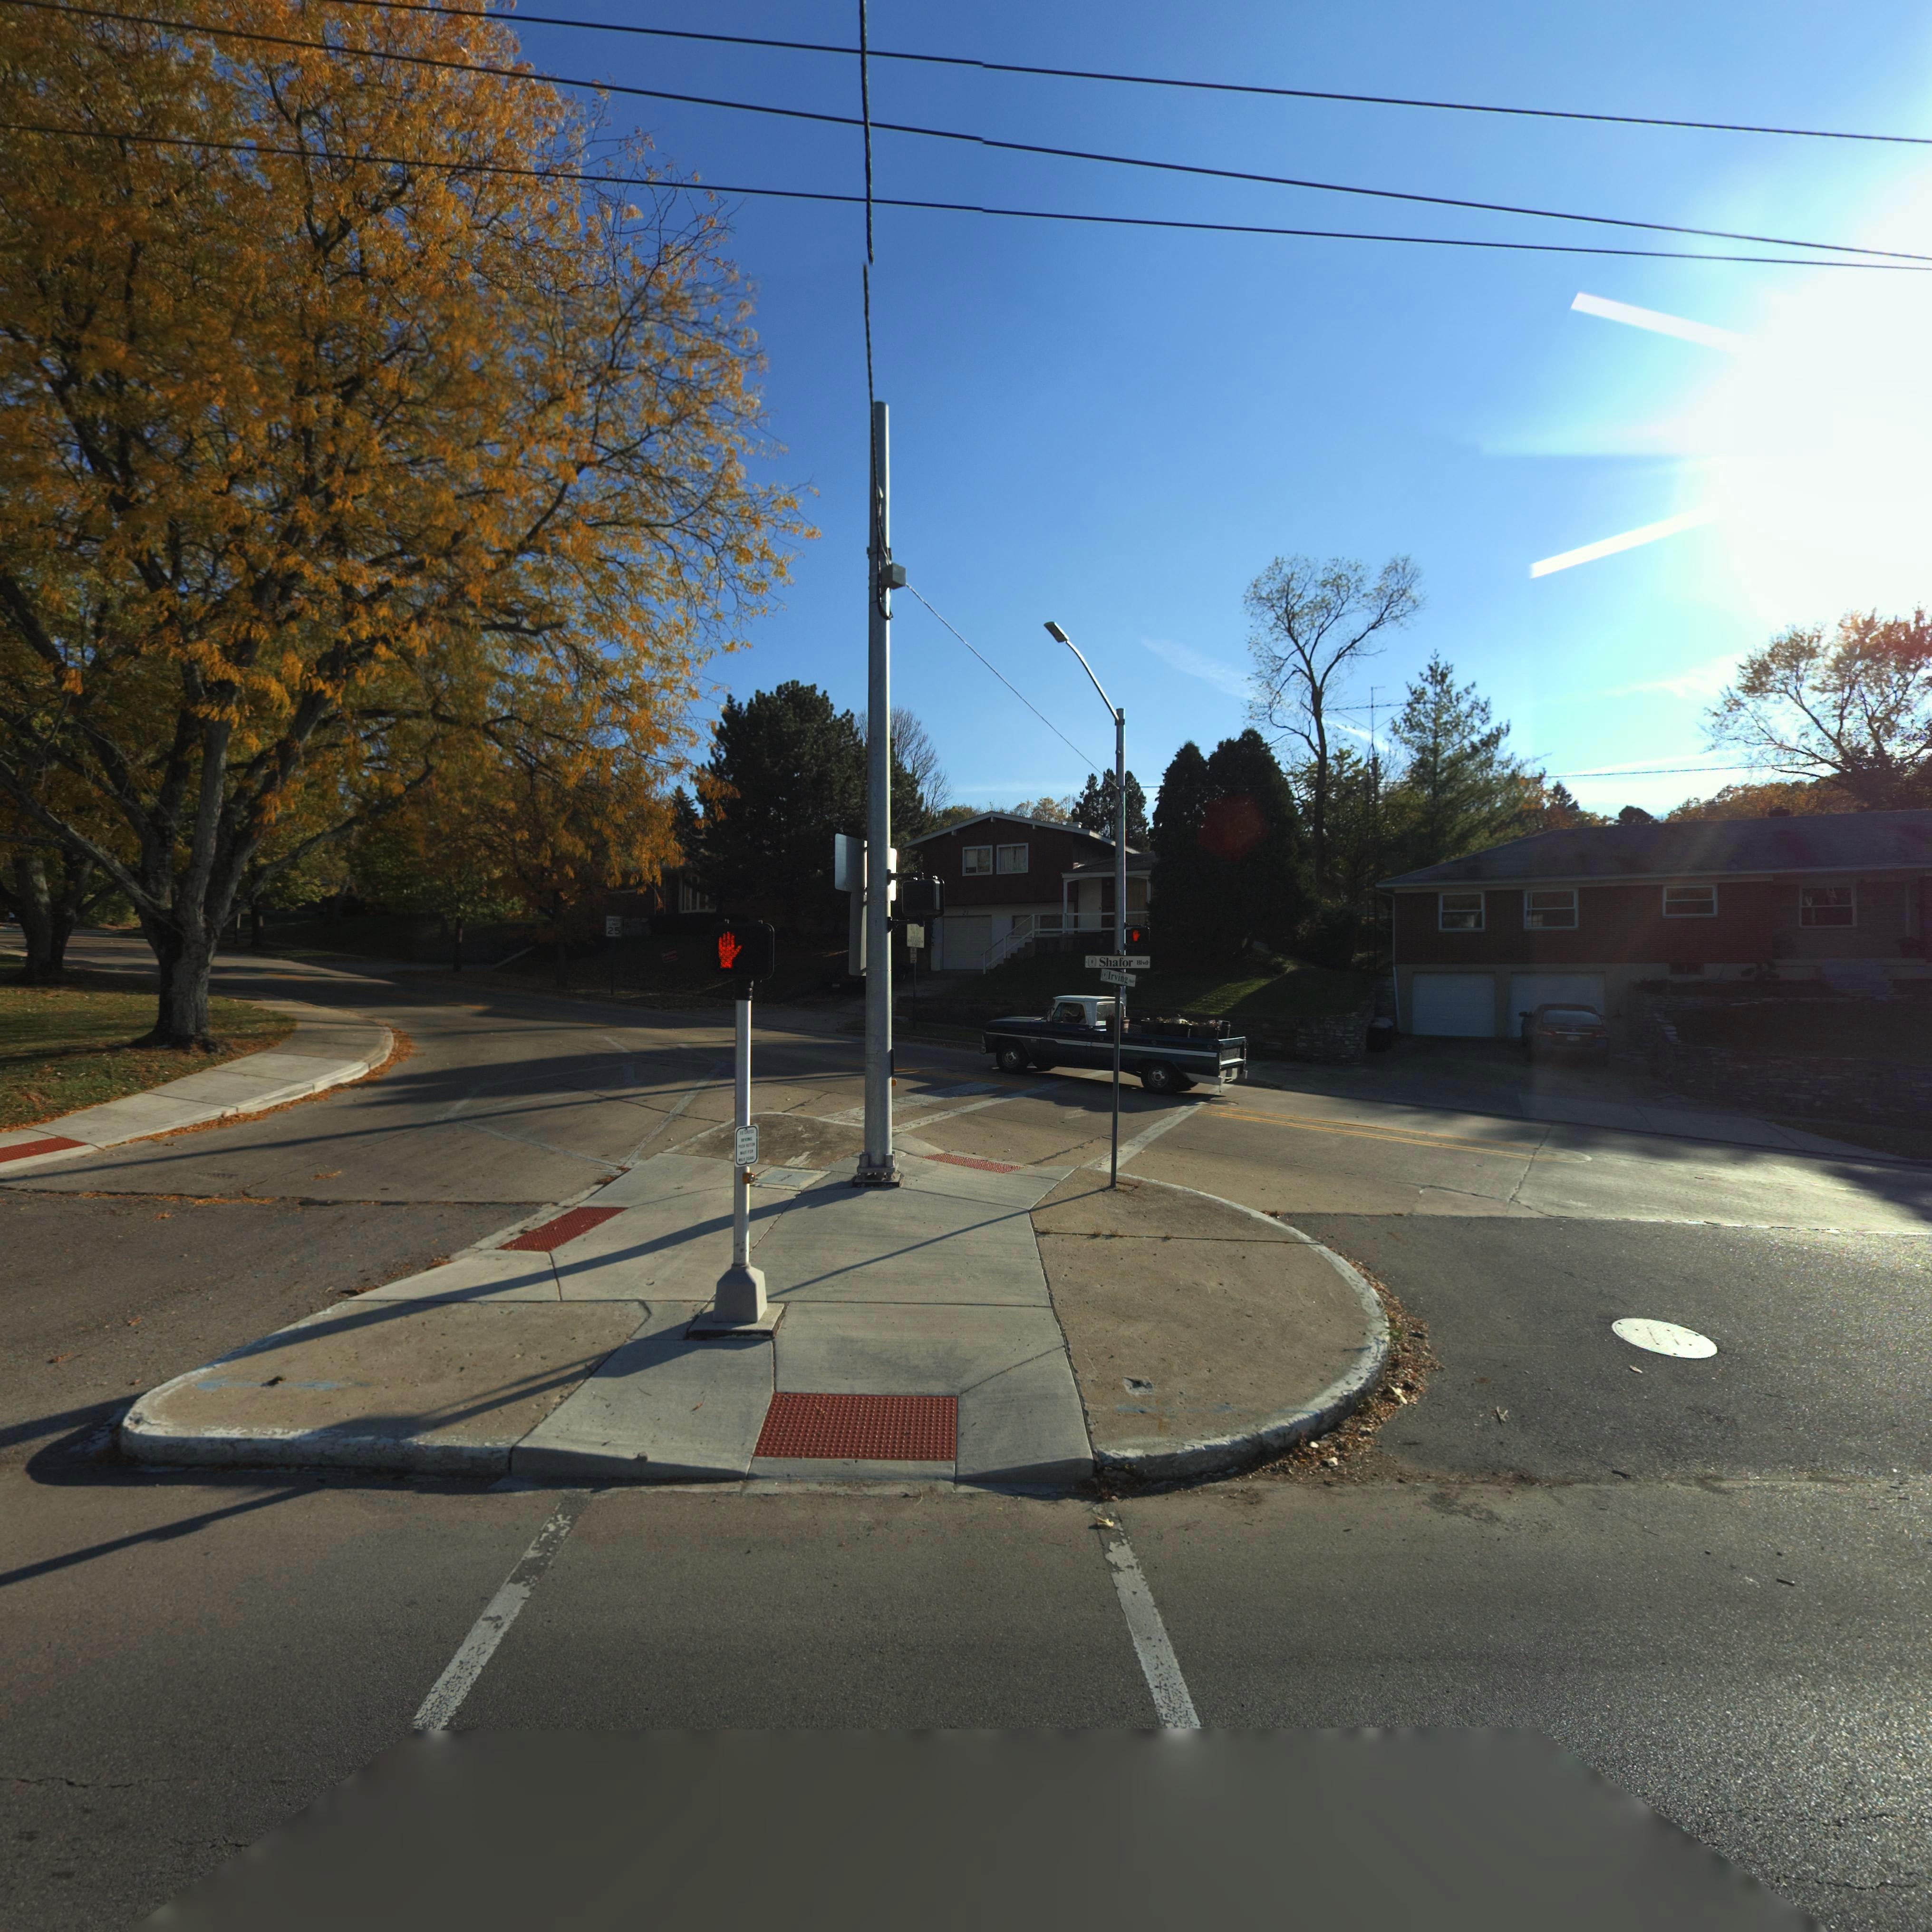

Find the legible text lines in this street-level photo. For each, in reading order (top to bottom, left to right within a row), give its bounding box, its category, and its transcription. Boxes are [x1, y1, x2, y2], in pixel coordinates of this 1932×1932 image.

[962, 910, 969, 915] StreetNumber: 21
[1099, 956, 1149, 967] StreetName: Shafor Blvd
[1107, 970, 1129, 986] StreetName: Irving